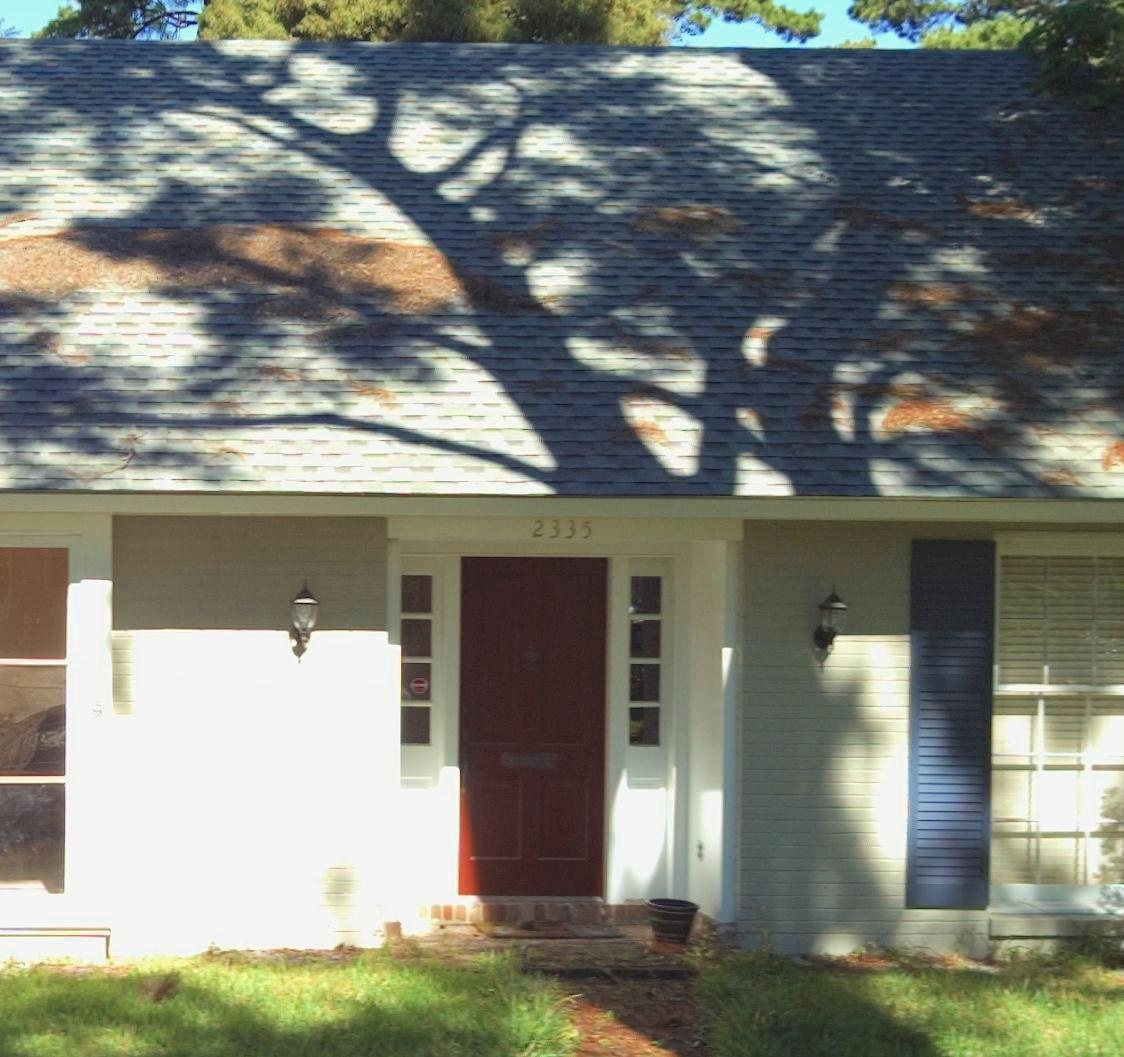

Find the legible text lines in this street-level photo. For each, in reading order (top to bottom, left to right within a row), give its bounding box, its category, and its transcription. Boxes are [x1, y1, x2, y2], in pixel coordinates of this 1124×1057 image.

[529, 517, 594, 541] StreetNumber: 2335